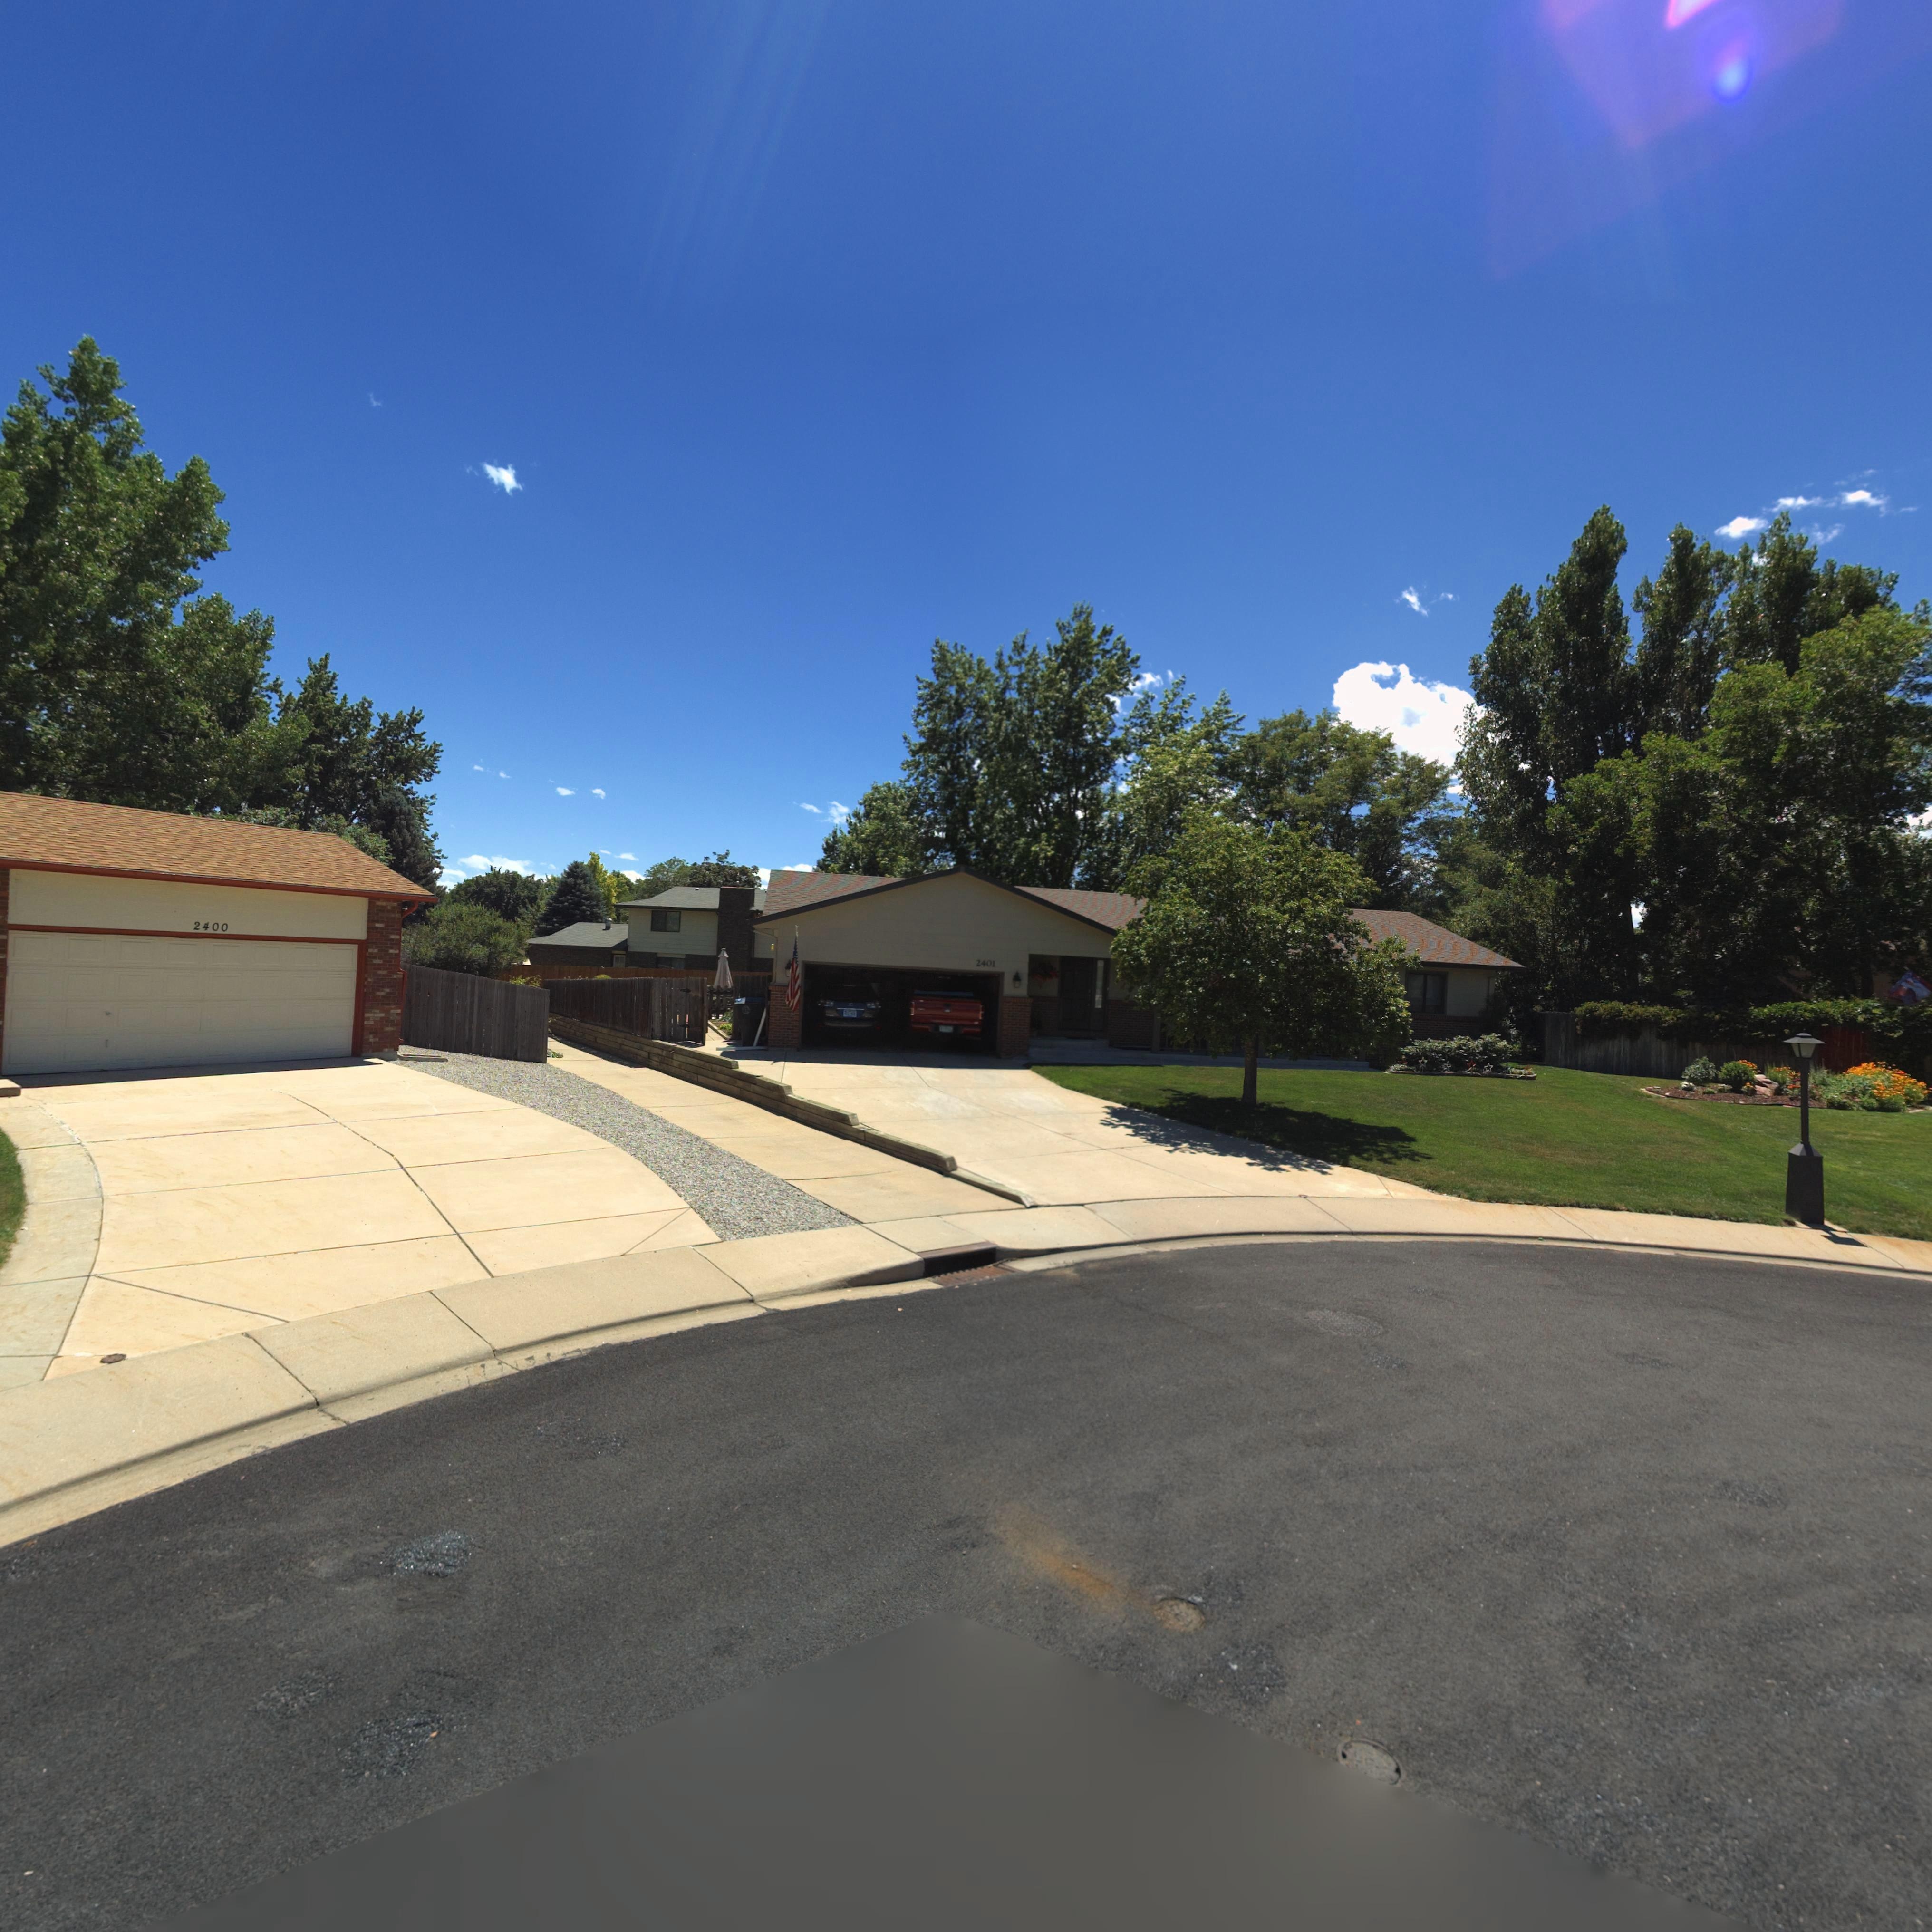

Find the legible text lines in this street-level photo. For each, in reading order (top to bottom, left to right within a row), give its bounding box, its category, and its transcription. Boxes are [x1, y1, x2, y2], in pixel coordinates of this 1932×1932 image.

[193, 921, 228, 932] StreetNumber: 2400
[975, 959, 995, 967] StreetNumber: 2401